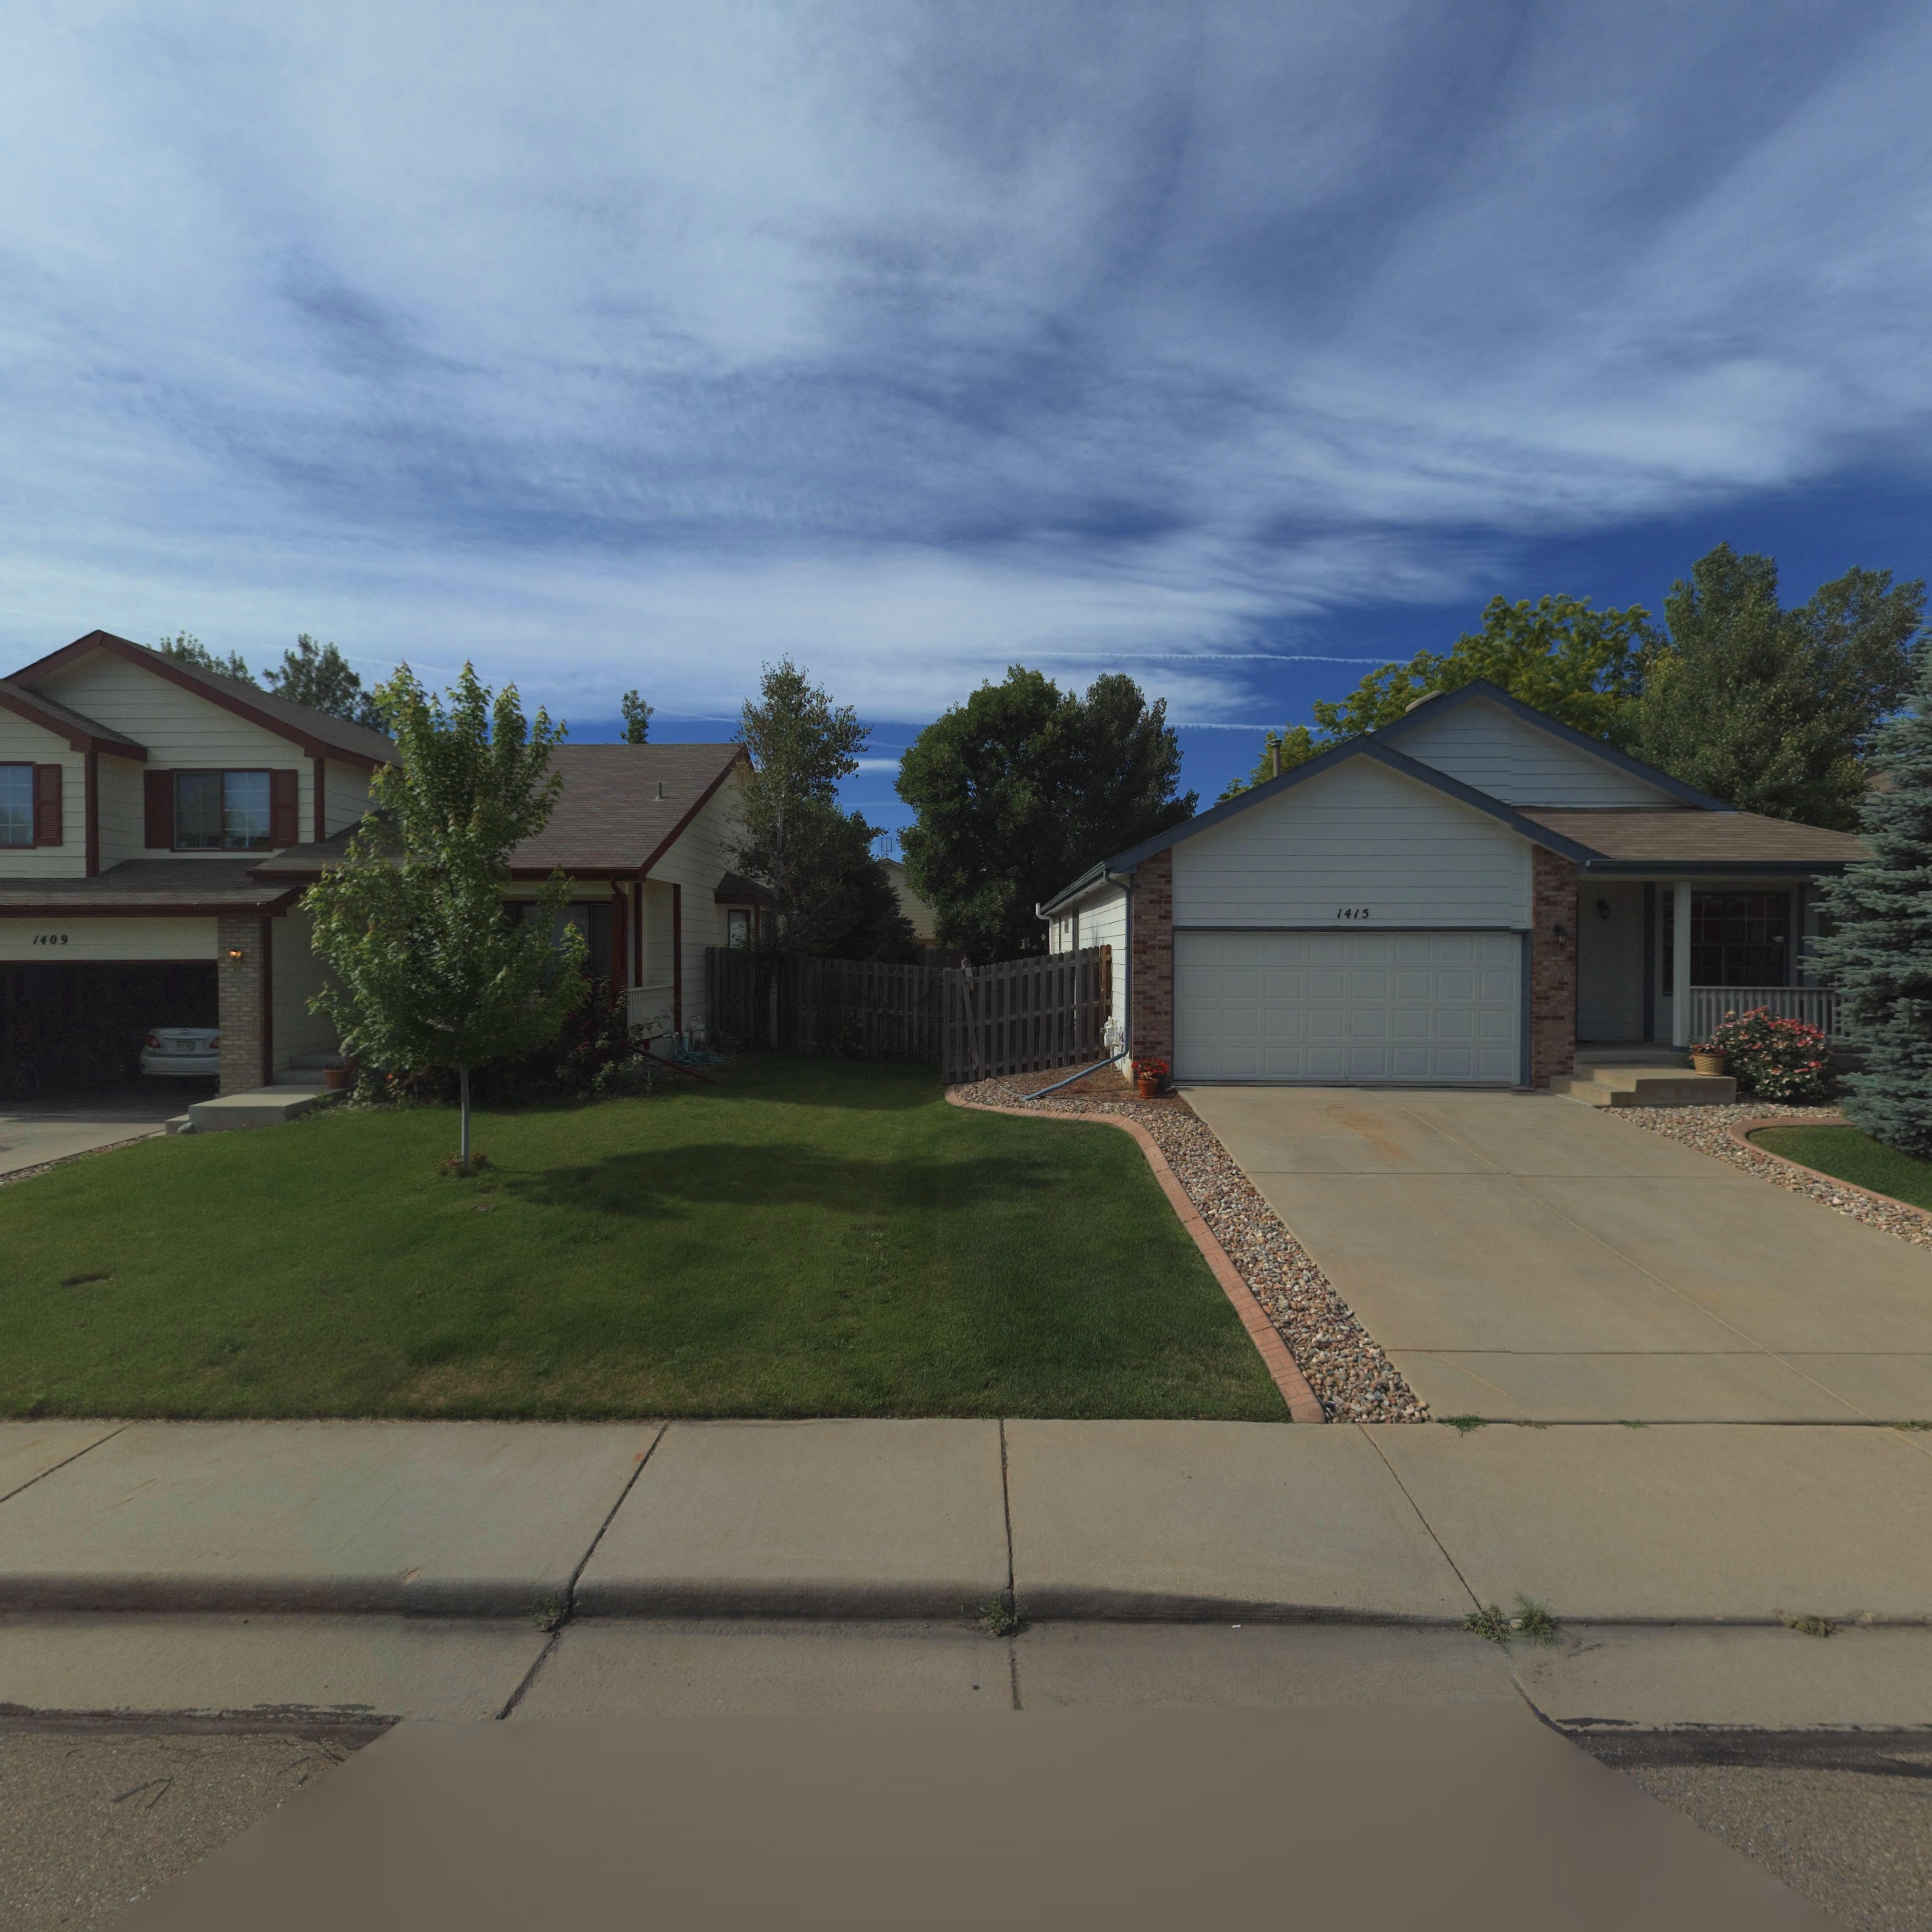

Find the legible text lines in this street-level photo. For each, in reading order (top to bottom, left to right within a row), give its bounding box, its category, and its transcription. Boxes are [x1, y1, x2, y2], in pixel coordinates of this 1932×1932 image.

[1335, 907, 1370, 919] StreetNumber: 1415
[31, 934, 68, 945] StreetNumber: 1409